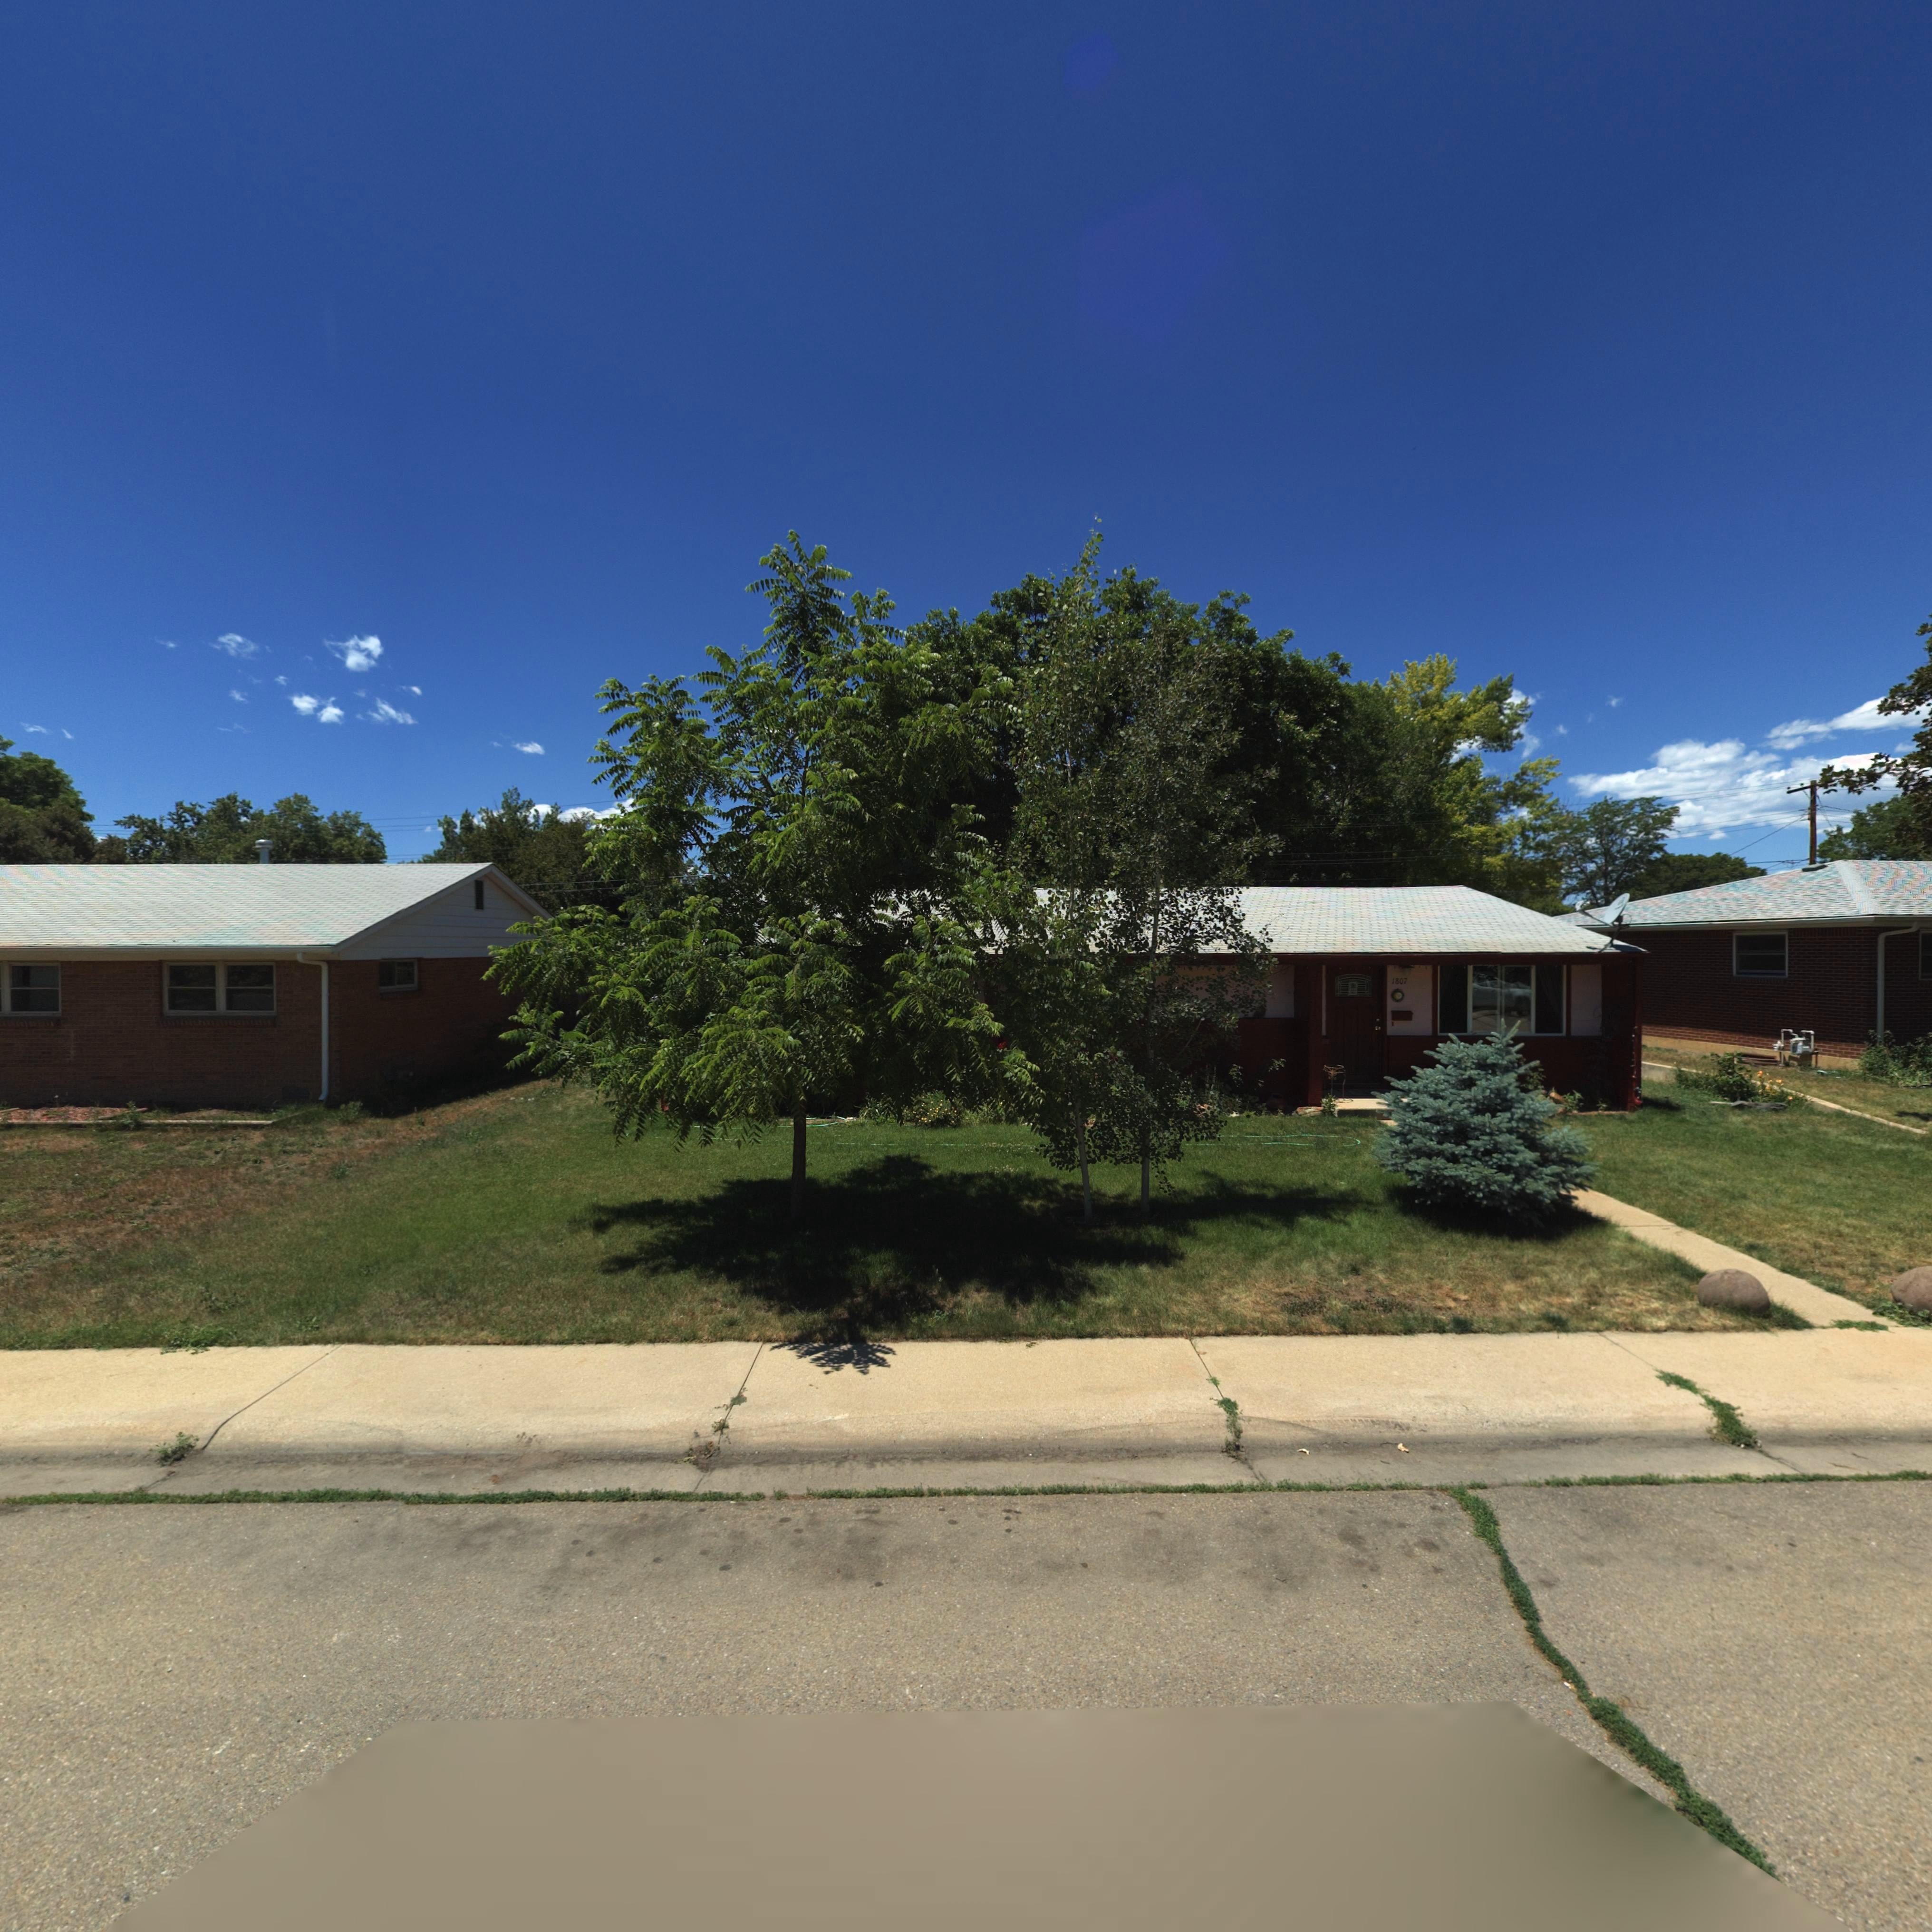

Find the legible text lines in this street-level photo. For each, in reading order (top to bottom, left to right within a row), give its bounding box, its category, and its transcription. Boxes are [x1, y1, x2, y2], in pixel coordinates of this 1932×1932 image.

[1392, 977, 1408, 985] StreetNumber: 1807